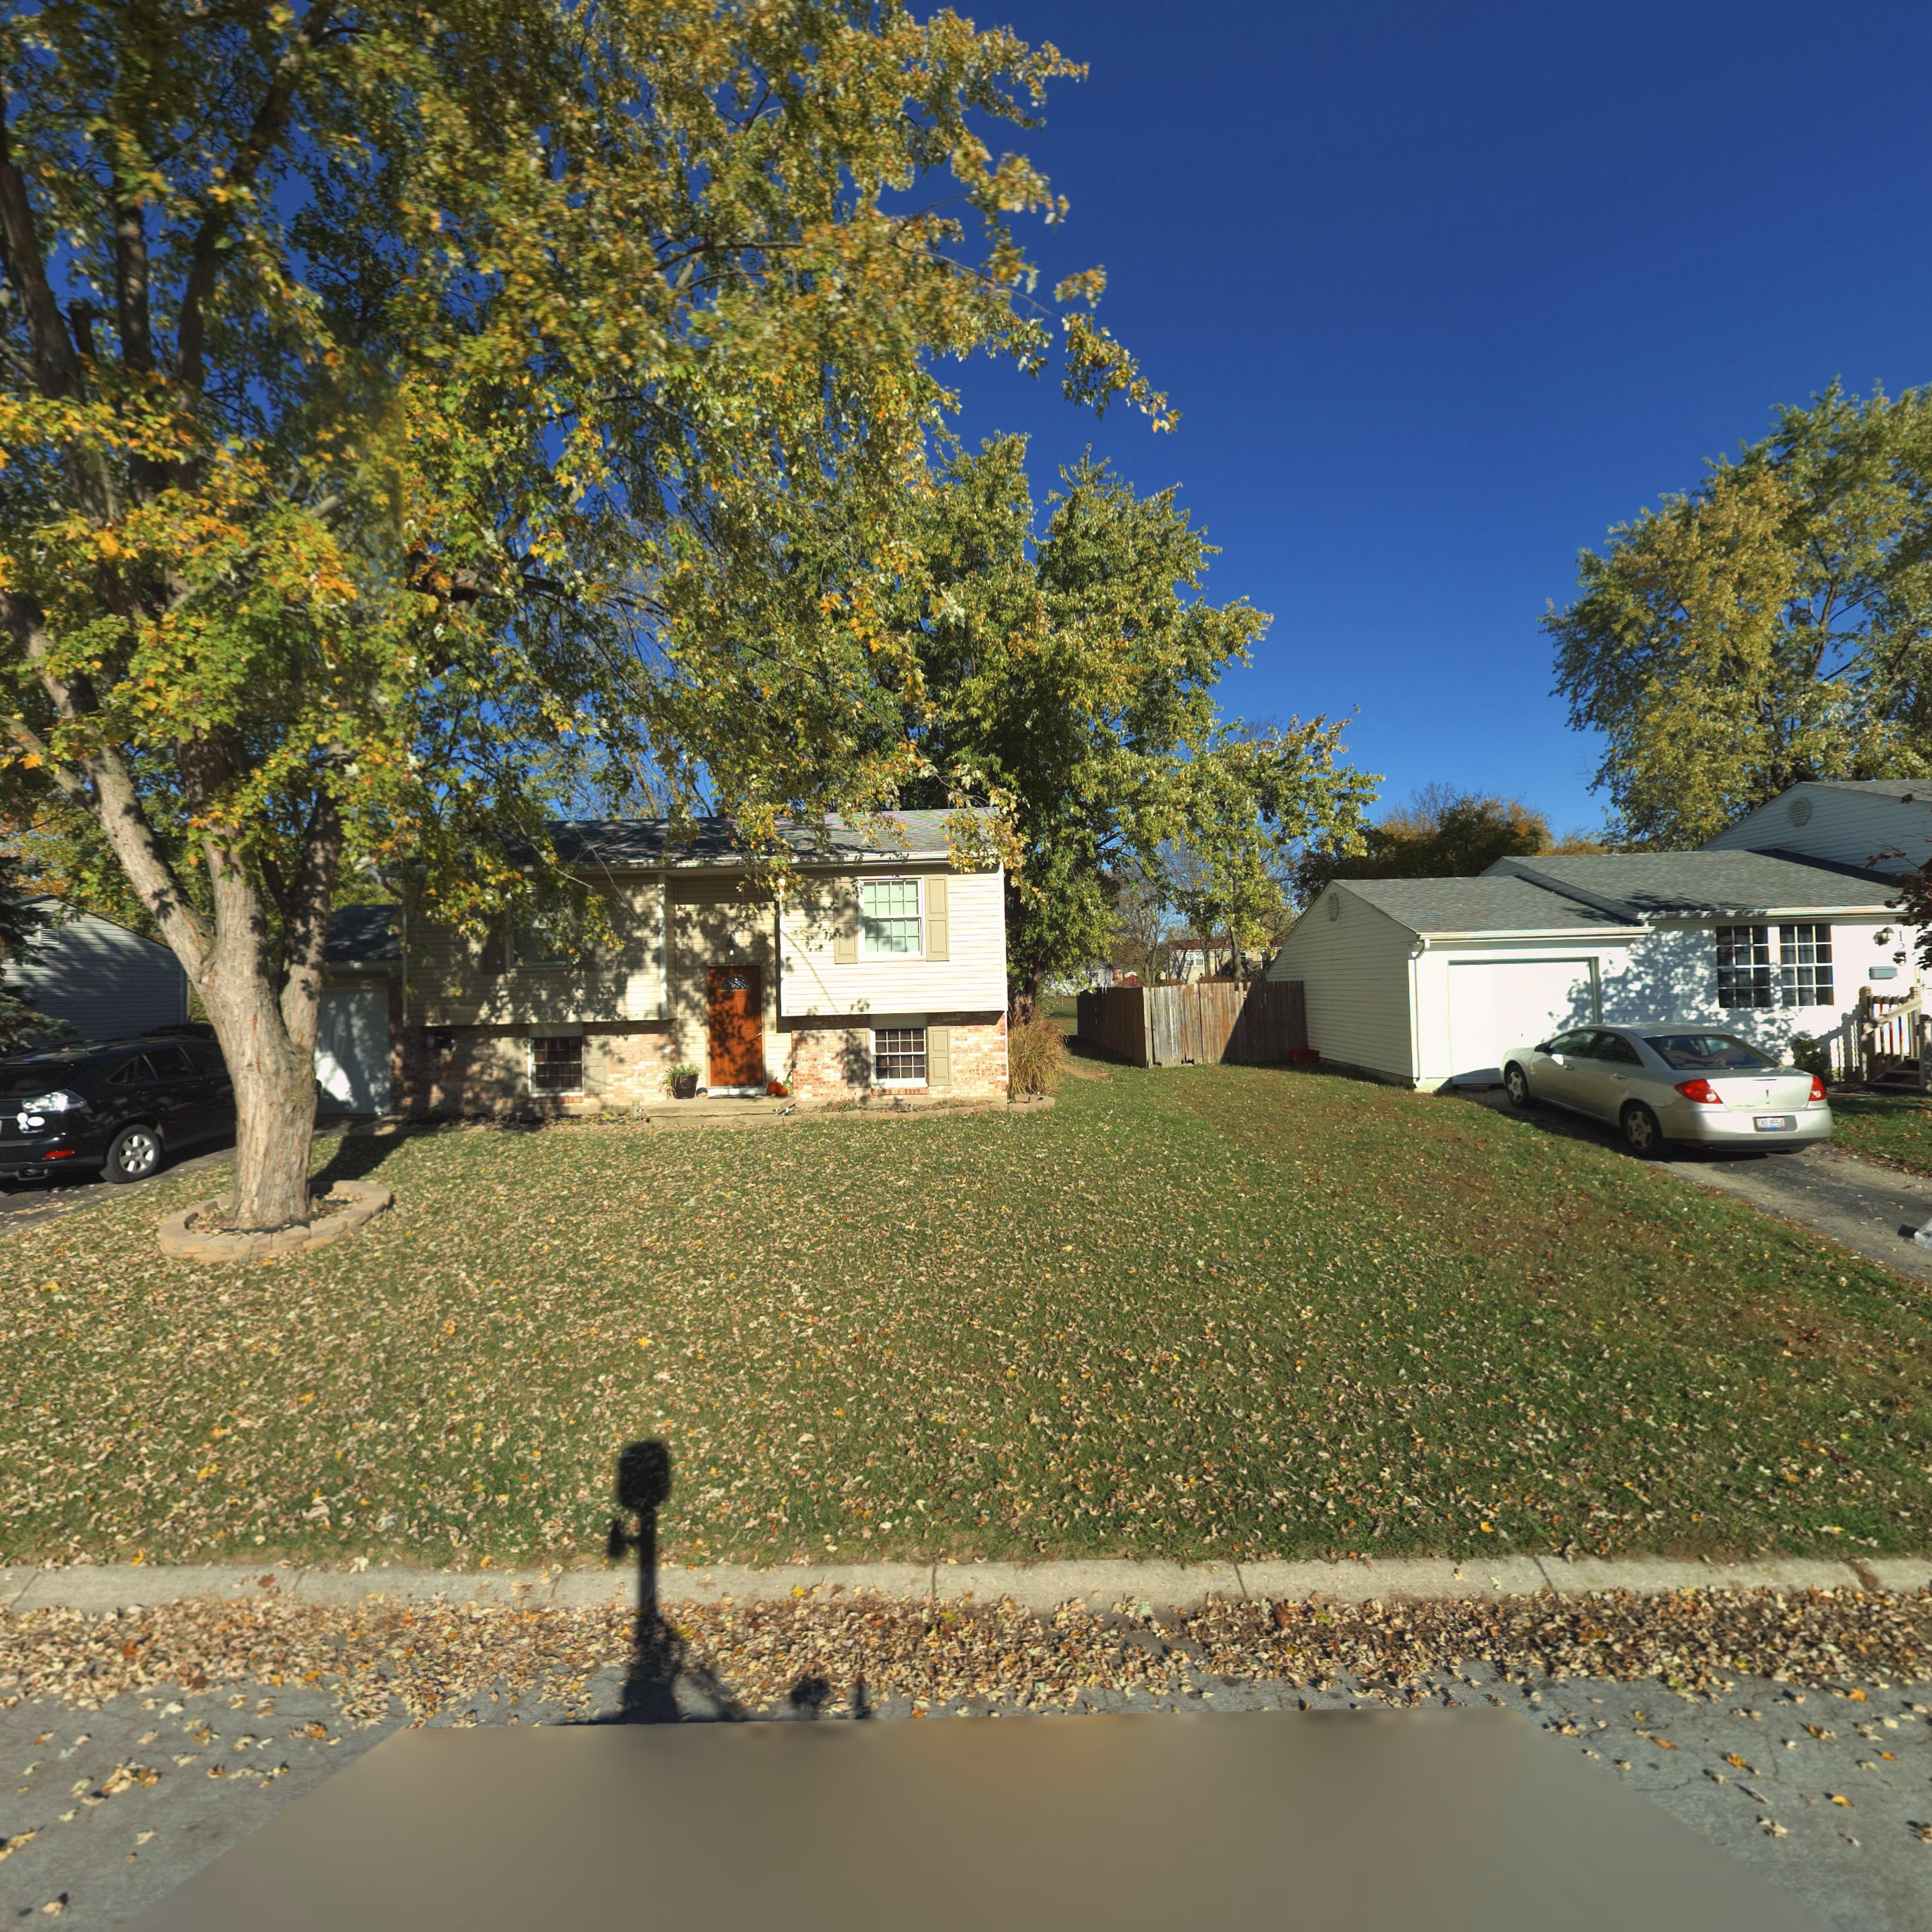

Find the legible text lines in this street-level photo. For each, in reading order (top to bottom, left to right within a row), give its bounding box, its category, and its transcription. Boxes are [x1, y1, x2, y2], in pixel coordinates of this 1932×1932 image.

[1896, 931, 1906, 953] StreetNumber: 12